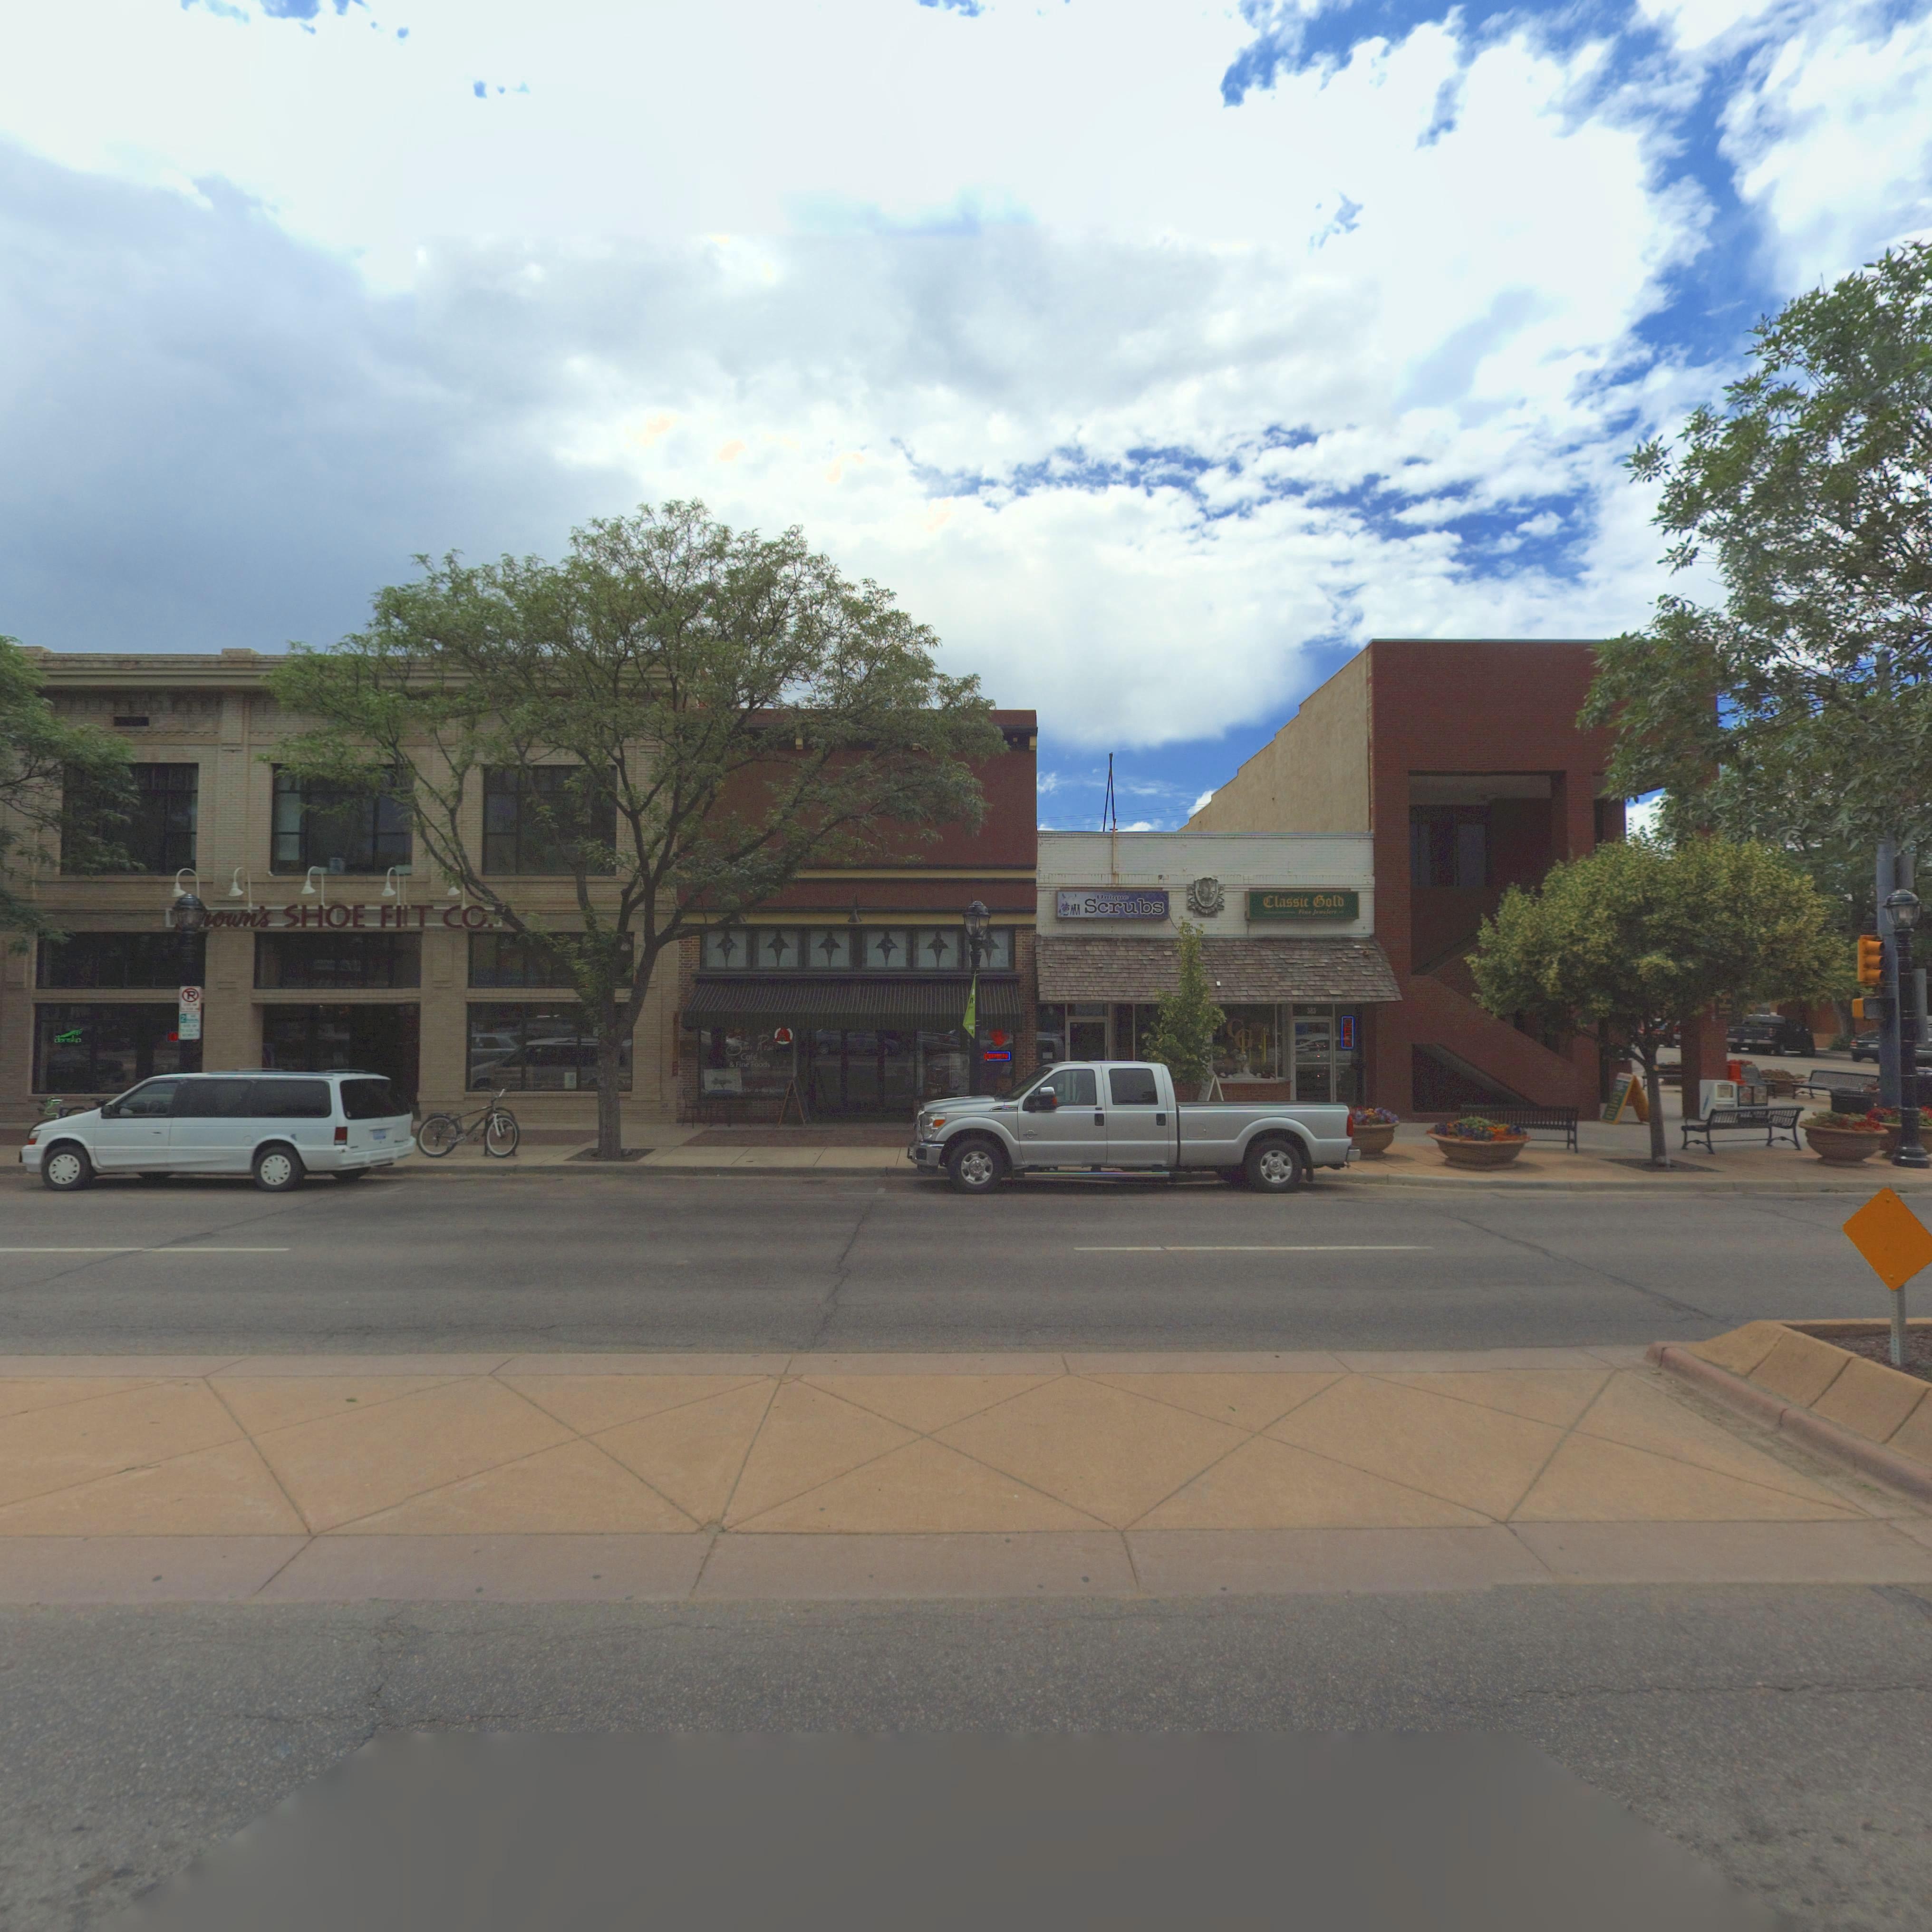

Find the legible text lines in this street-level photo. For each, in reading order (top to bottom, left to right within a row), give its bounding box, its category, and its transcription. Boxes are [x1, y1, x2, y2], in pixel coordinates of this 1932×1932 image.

[1096, 894, 1128, 901] BusinessName: Unique
[1083, 897, 1165, 915] BusinessName: Scrubs
[1262, 894, 1344, 908] BusinessName: Classic Gold
[174, 902, 495, 933] BusinessName: *rown's SHOE FIT CO.
[1307, 1007, 1316, 1014] StreetNumber: 3*3
[724, 1033, 775, 1056] BusinessName: S** Rose
[740, 1052, 758, 1061] BusinessName: Cafe